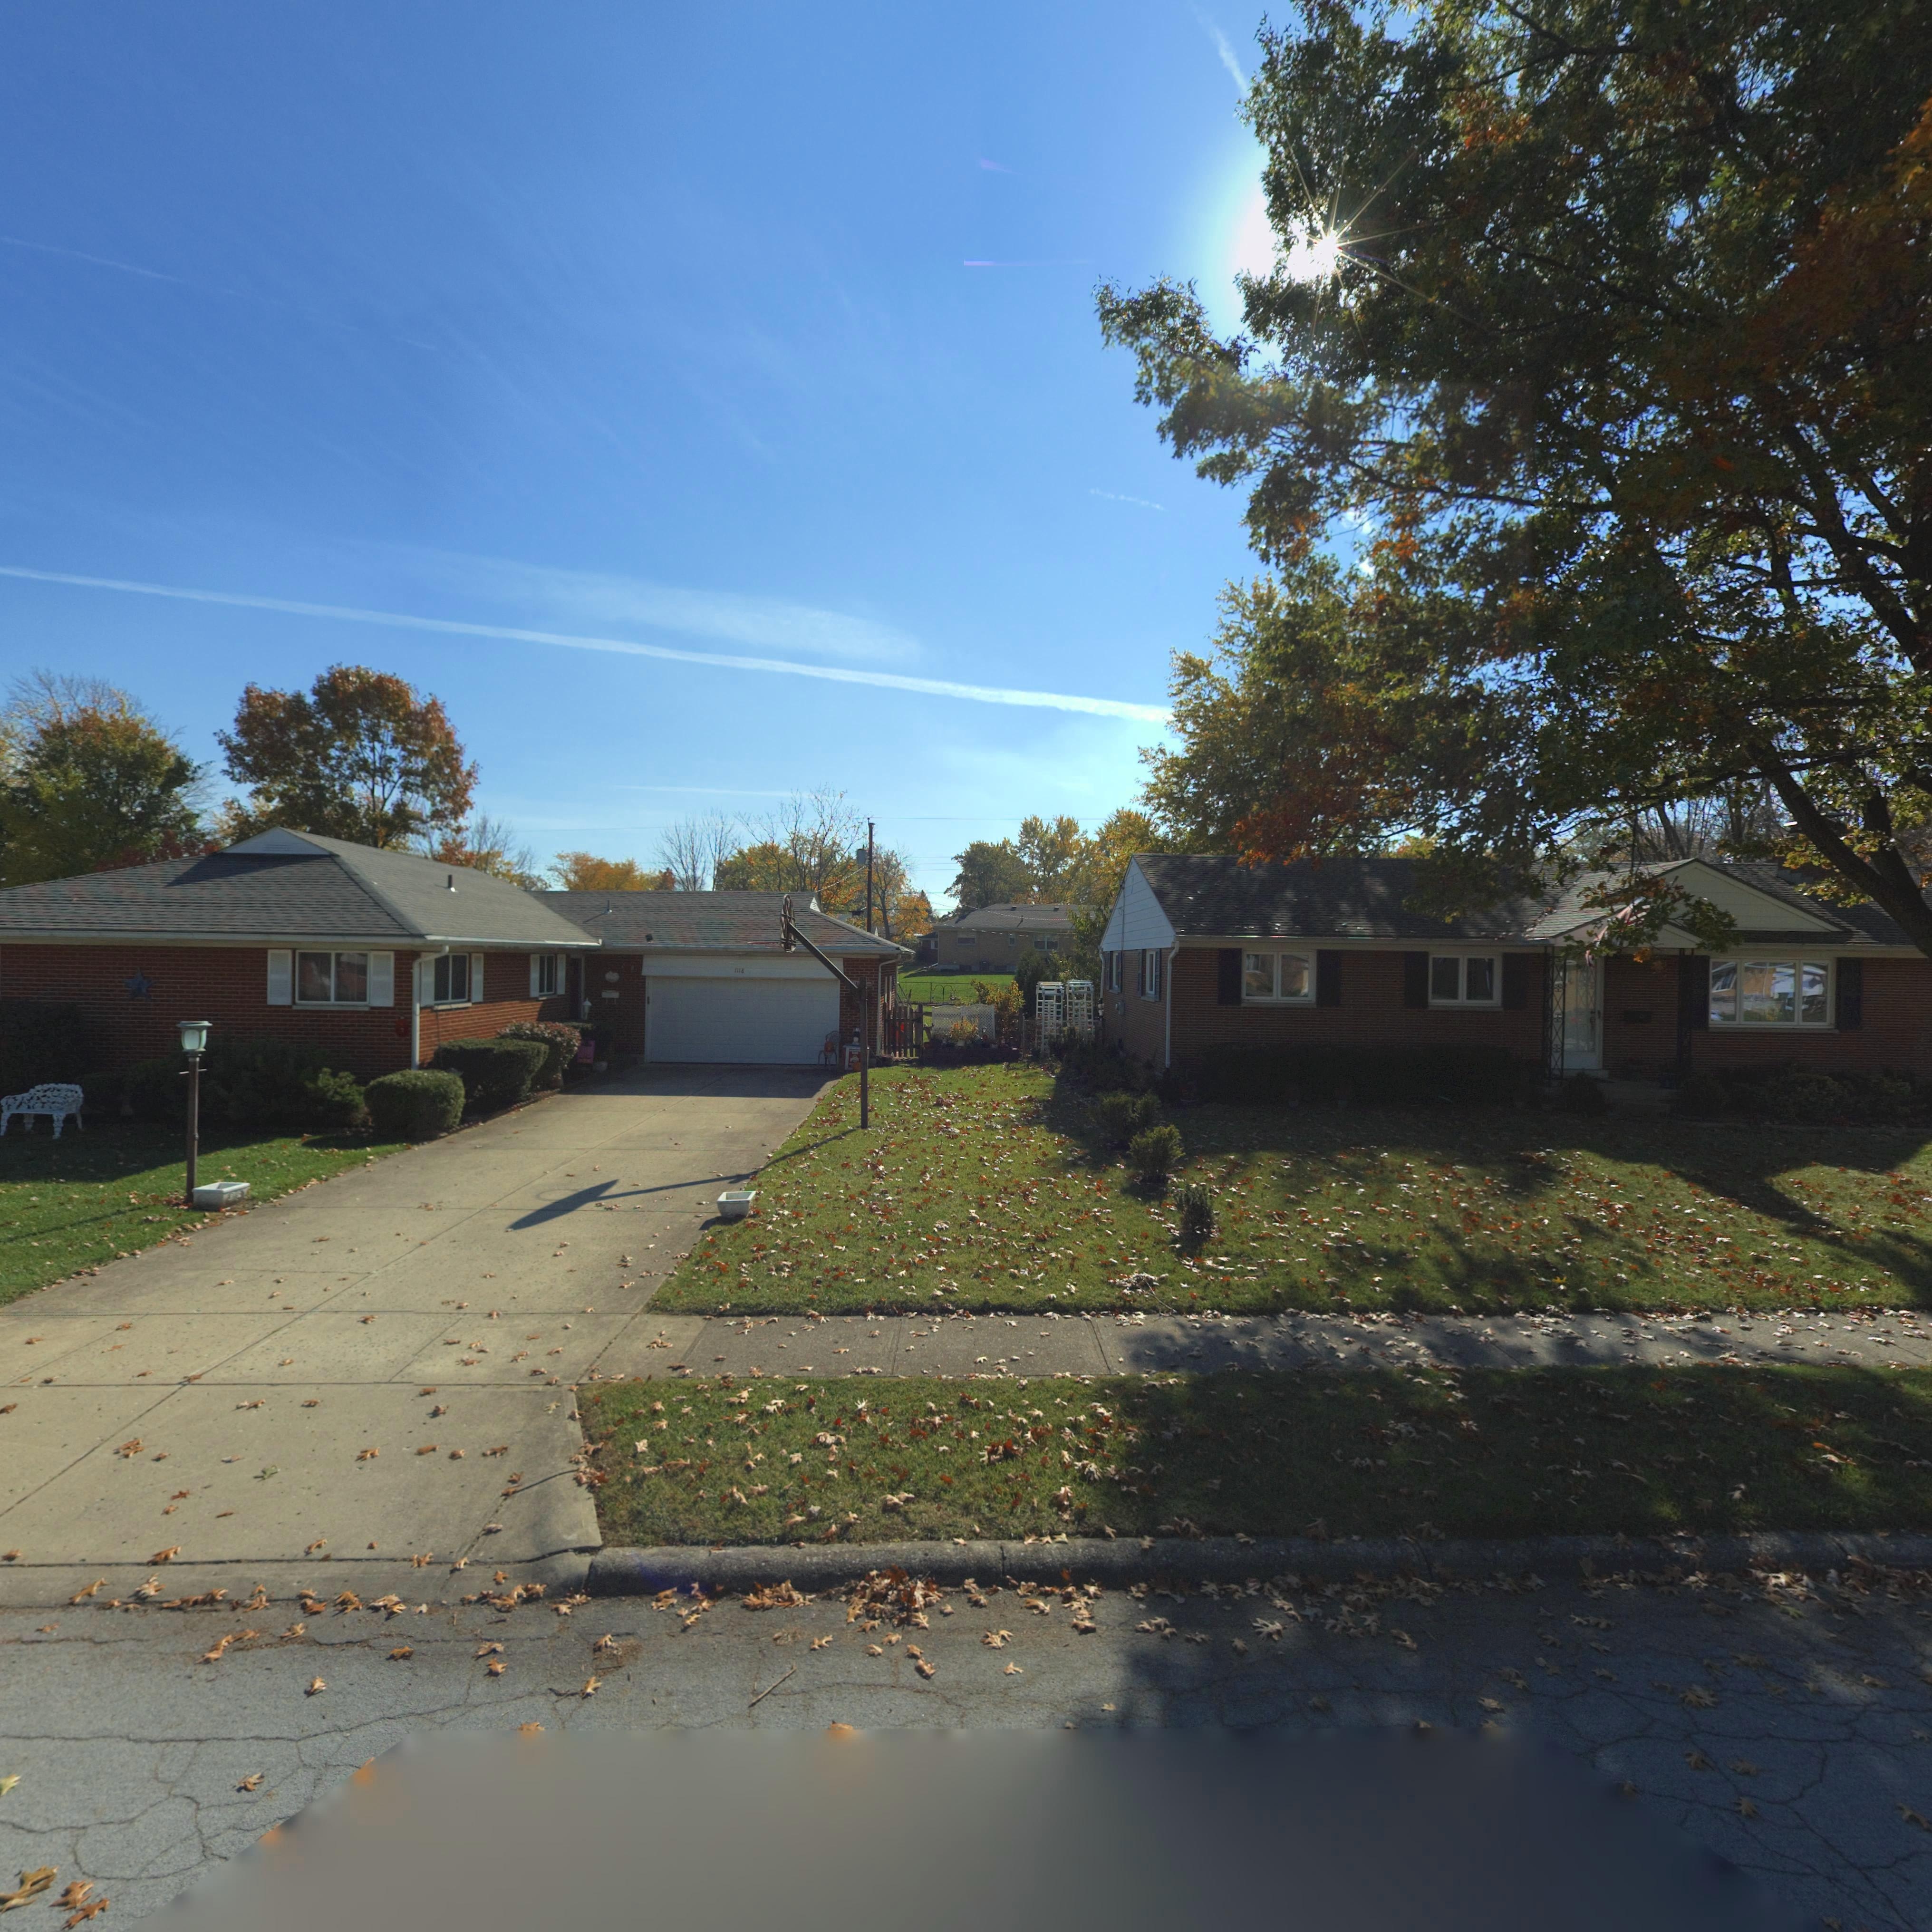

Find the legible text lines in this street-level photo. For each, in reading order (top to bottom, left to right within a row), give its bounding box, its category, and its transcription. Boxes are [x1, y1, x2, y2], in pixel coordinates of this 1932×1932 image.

[734, 967, 744, 973] StreetNumber: 1118